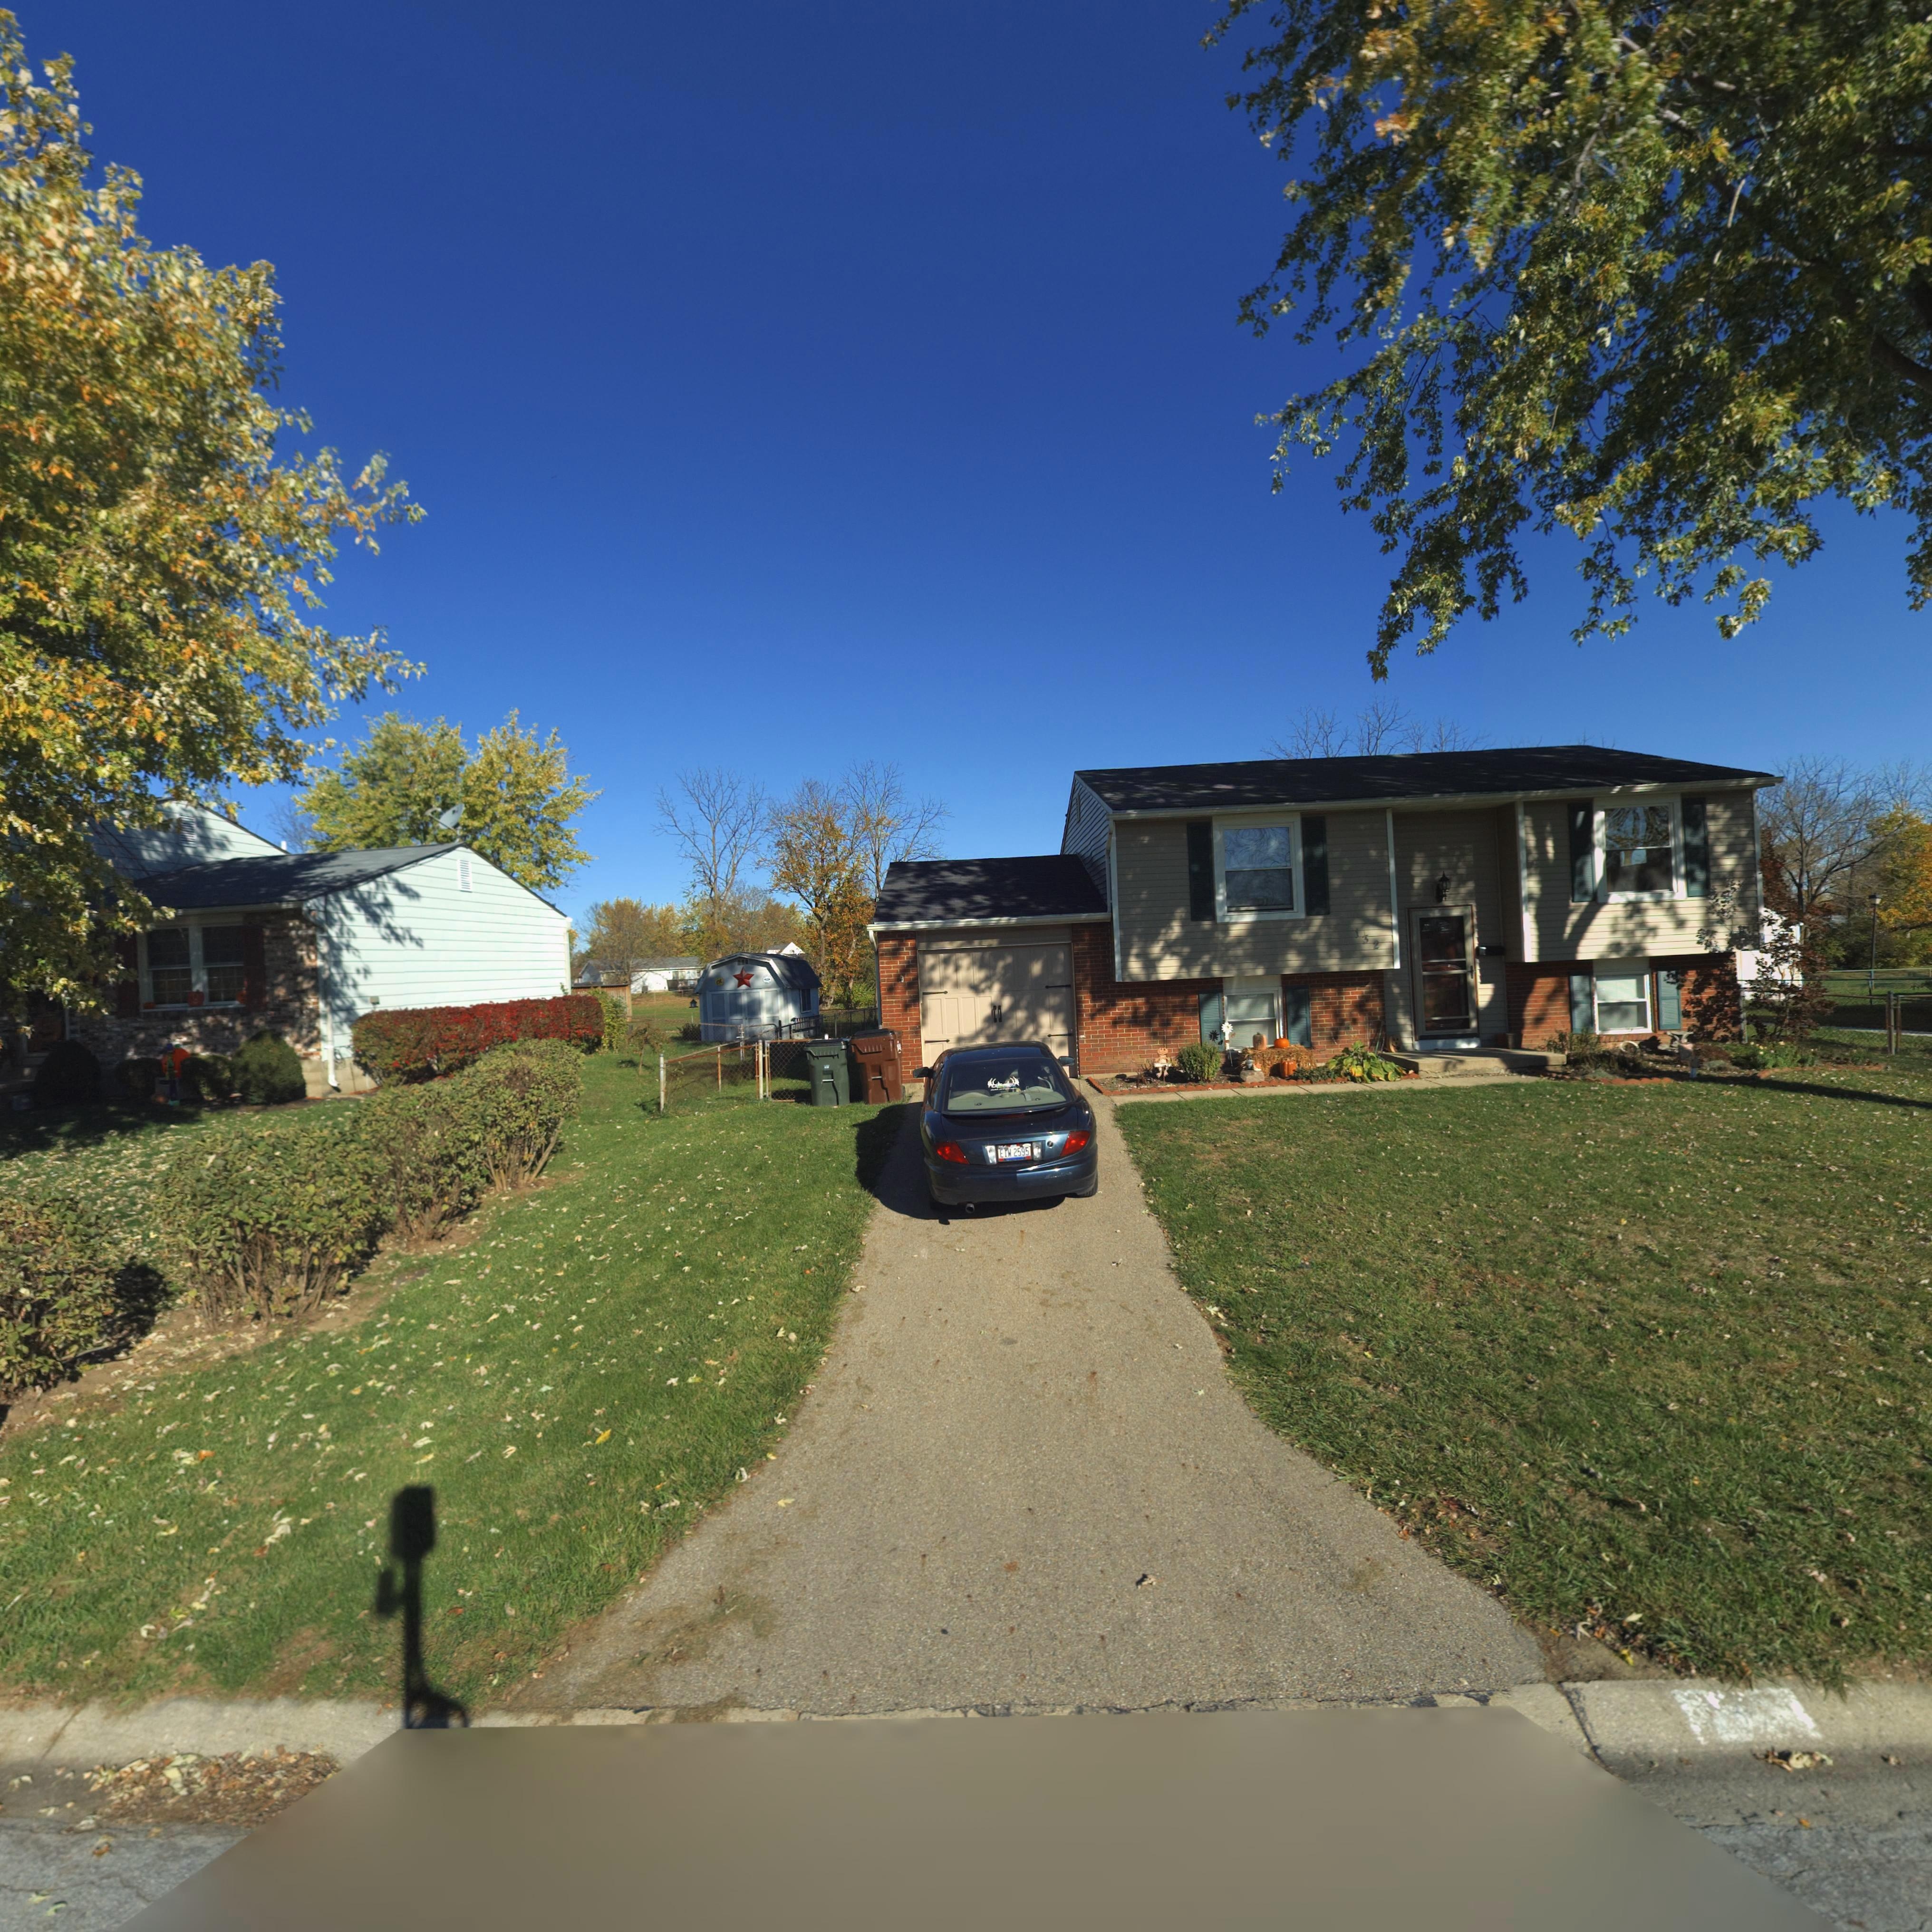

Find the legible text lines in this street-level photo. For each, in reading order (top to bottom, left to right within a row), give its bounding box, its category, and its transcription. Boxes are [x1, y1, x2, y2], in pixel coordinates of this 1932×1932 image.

[1354, 927, 1380, 950] StreetNumber: 132